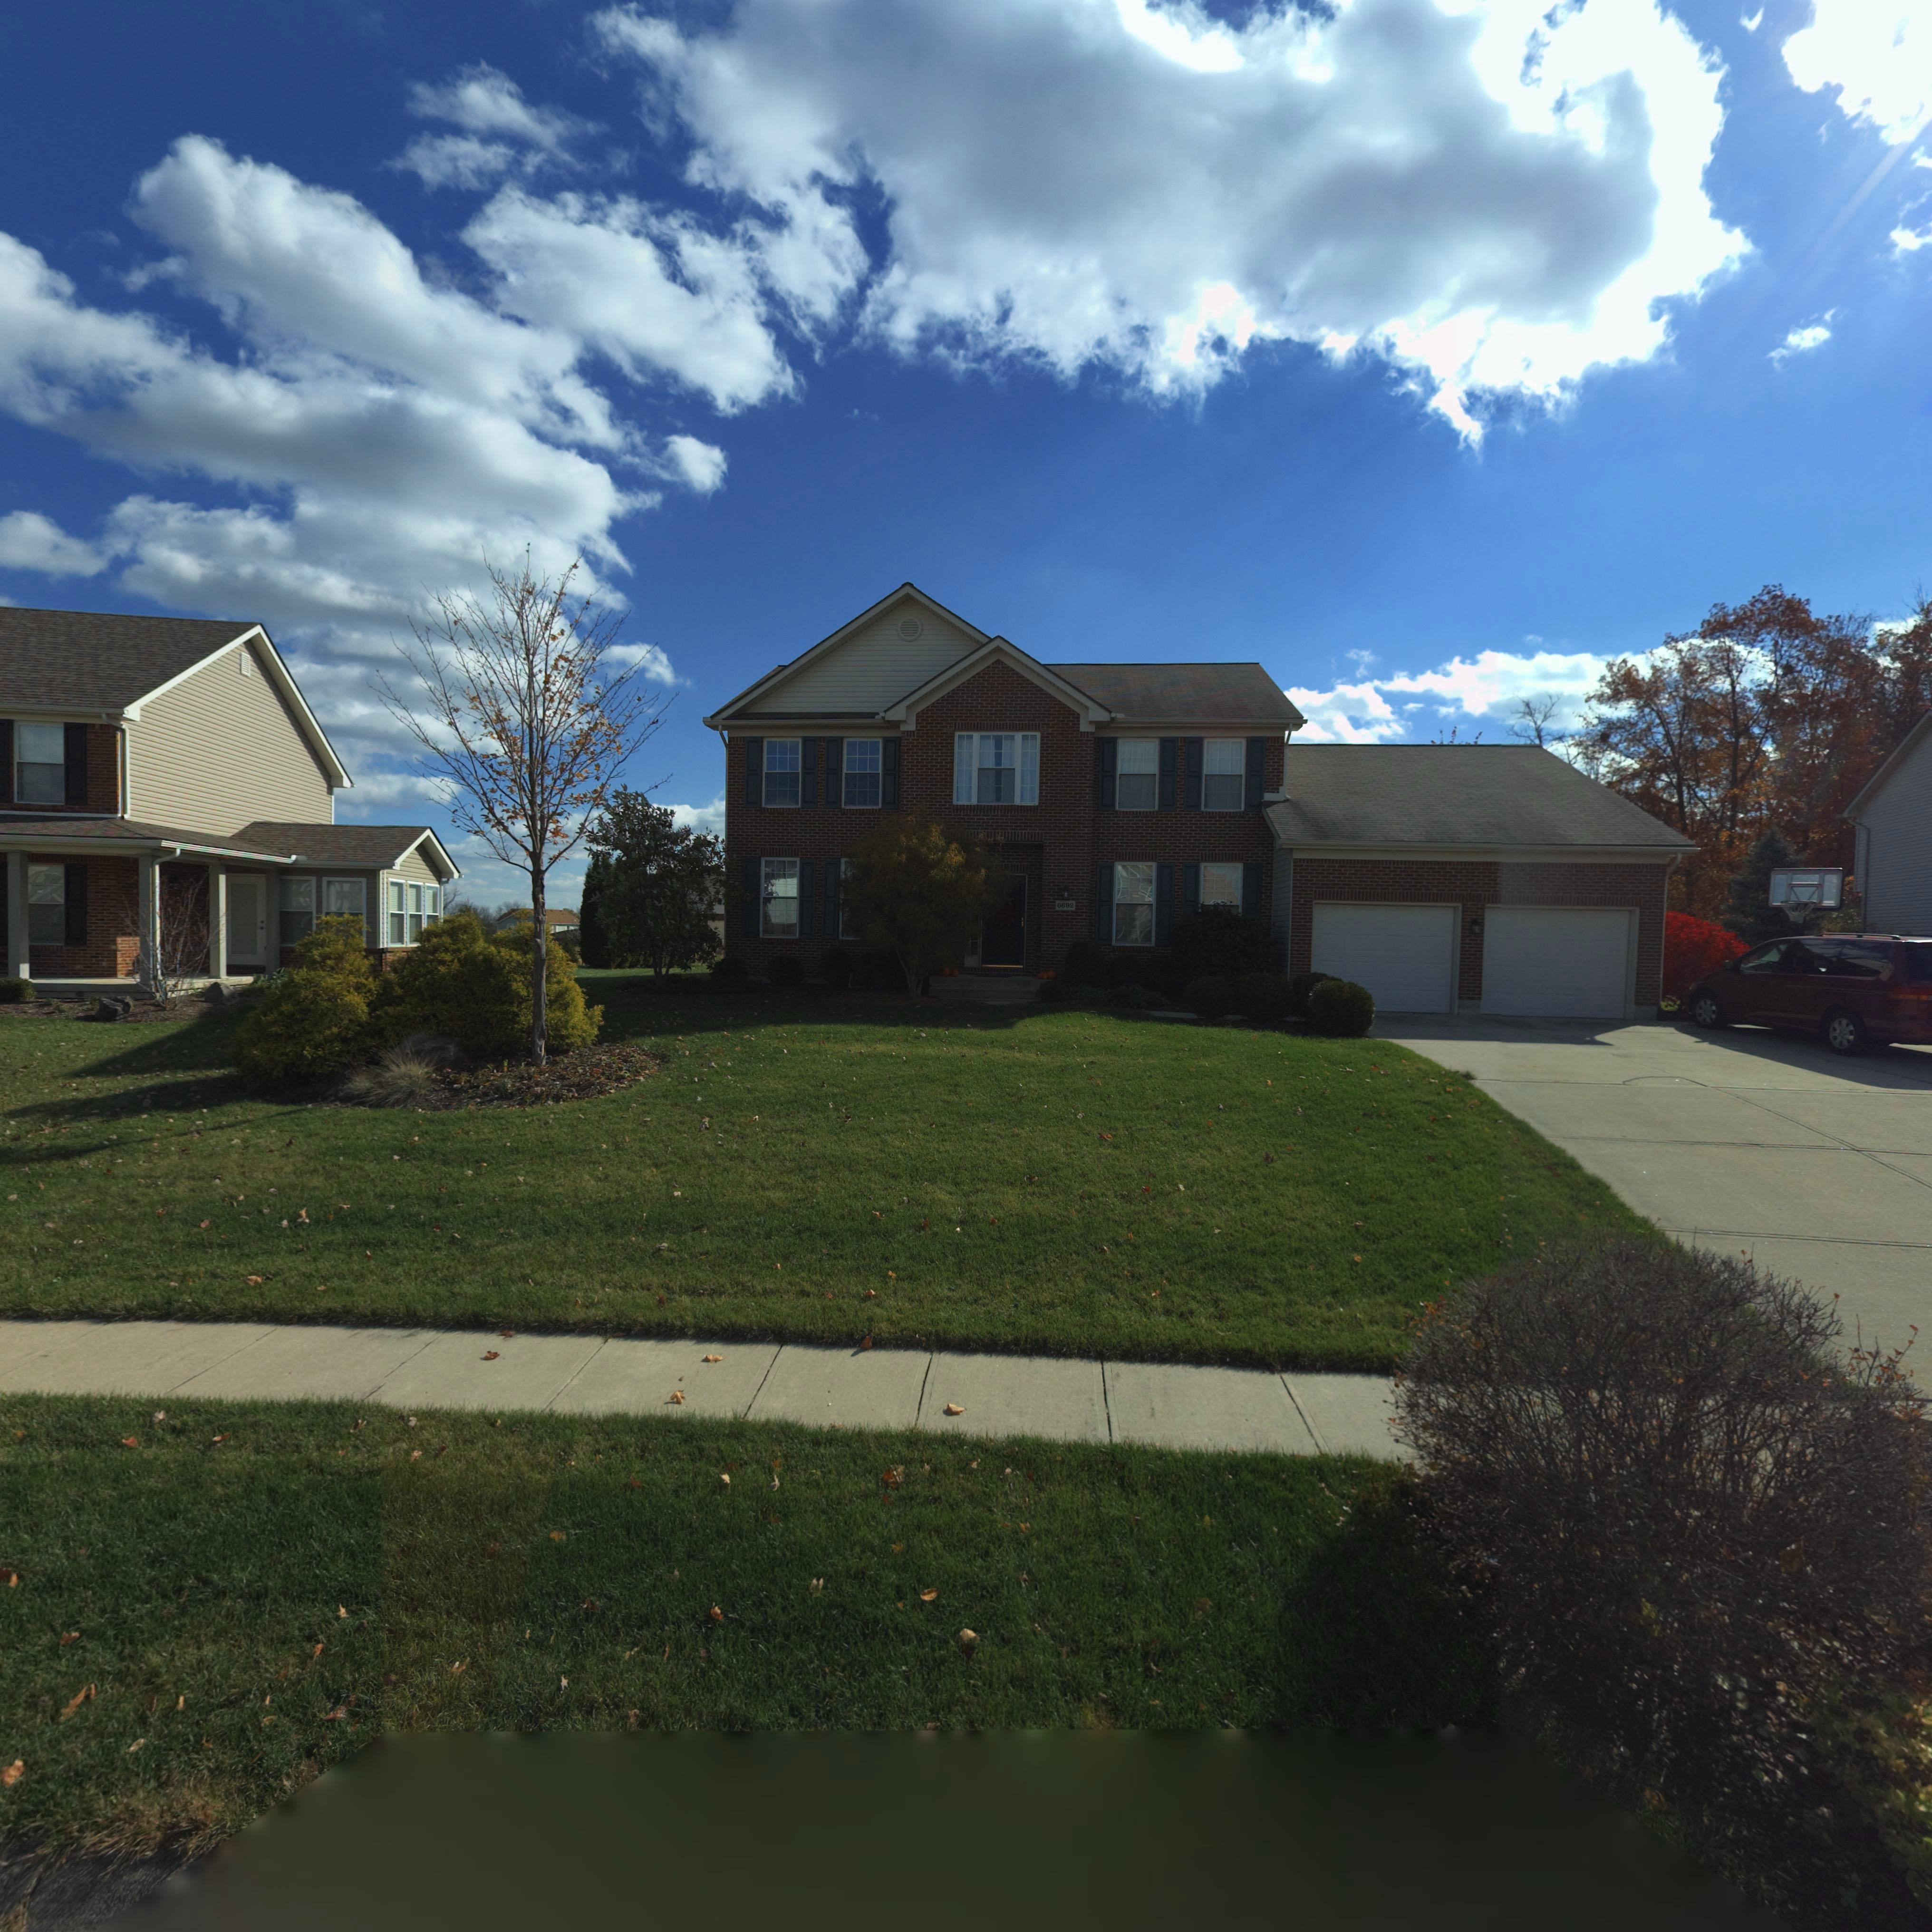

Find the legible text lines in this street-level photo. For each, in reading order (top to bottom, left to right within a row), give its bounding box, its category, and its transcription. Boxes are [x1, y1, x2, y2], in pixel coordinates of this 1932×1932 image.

[1056, 902, 1074, 909] StreetNumber: 6692